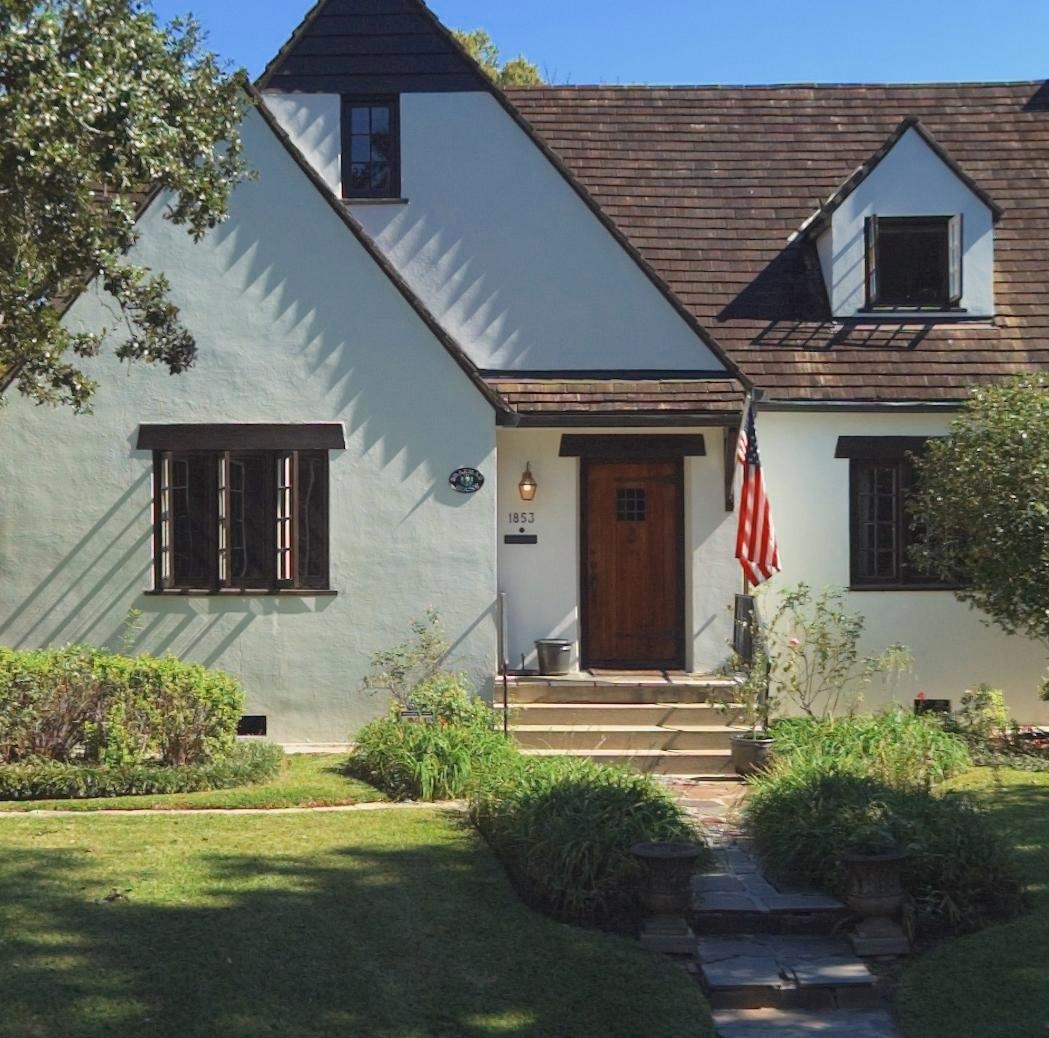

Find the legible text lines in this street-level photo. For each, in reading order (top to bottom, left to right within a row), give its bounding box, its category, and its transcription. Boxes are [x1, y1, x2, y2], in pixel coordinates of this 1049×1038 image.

[506, 510, 538, 526] StreetNumber: 1853